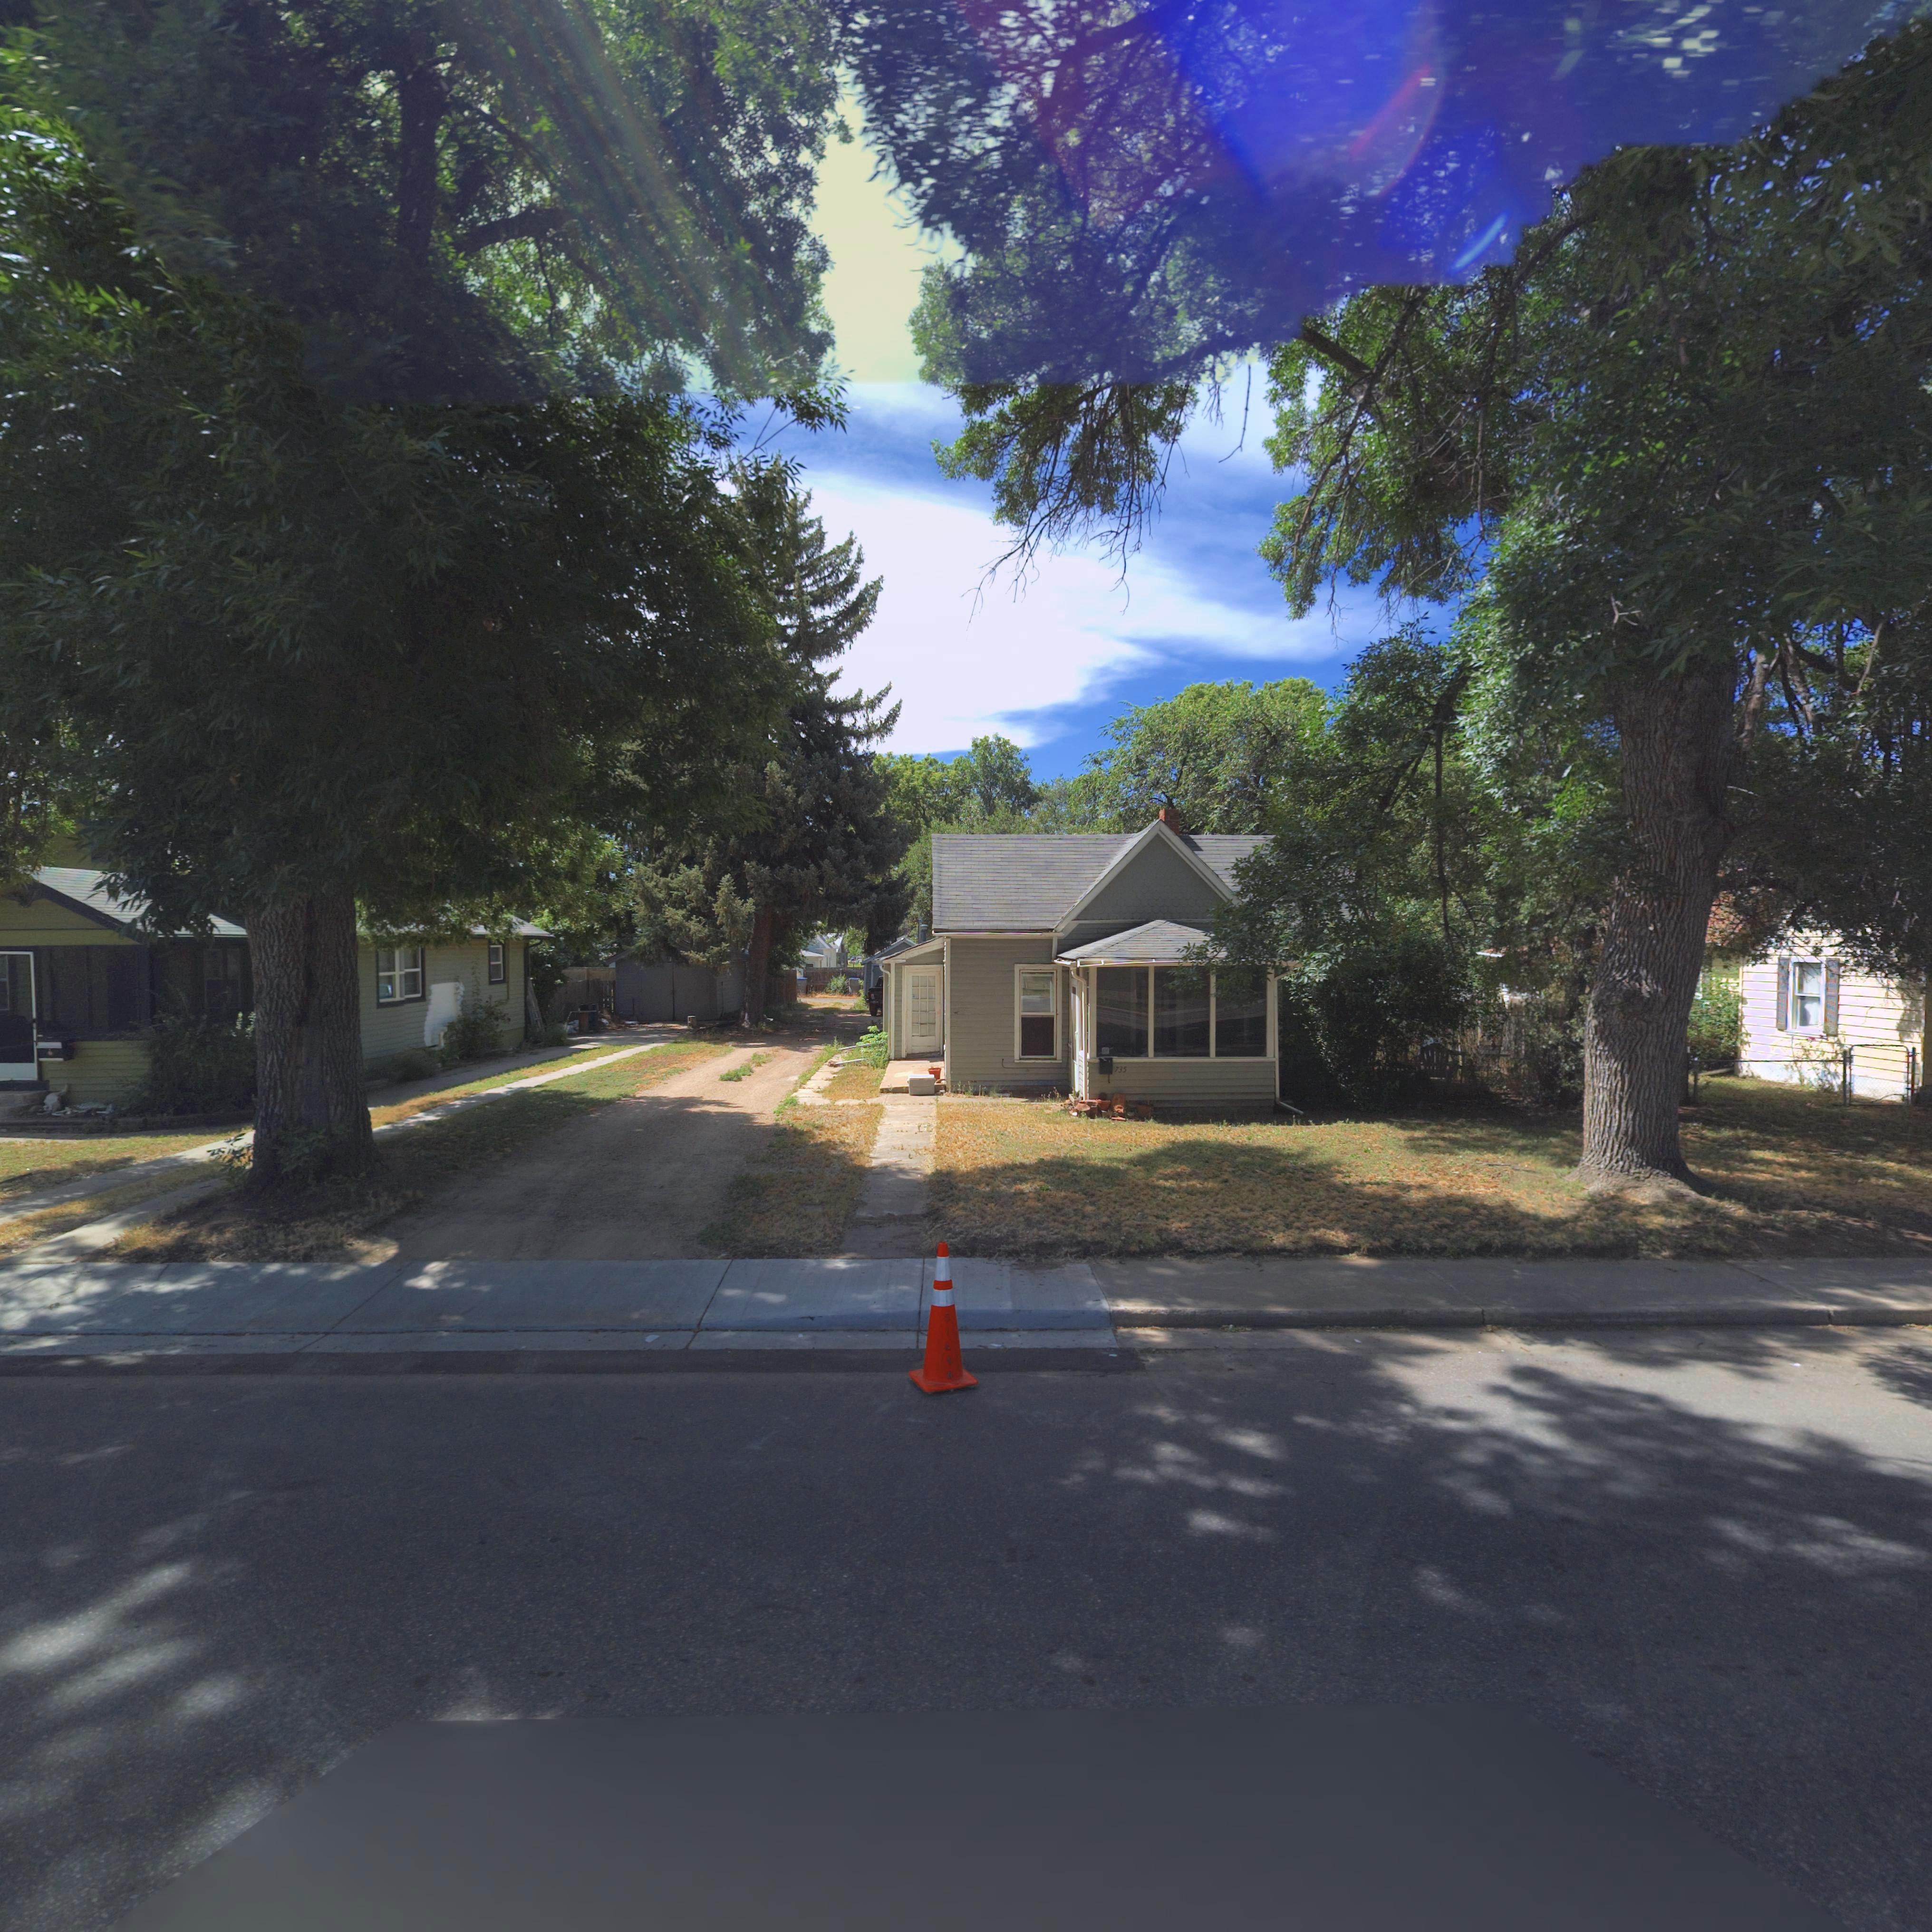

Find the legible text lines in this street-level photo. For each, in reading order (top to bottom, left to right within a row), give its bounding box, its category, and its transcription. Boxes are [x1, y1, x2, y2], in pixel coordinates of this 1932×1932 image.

[1113, 1066, 1128, 1072] StreetNumber: 735